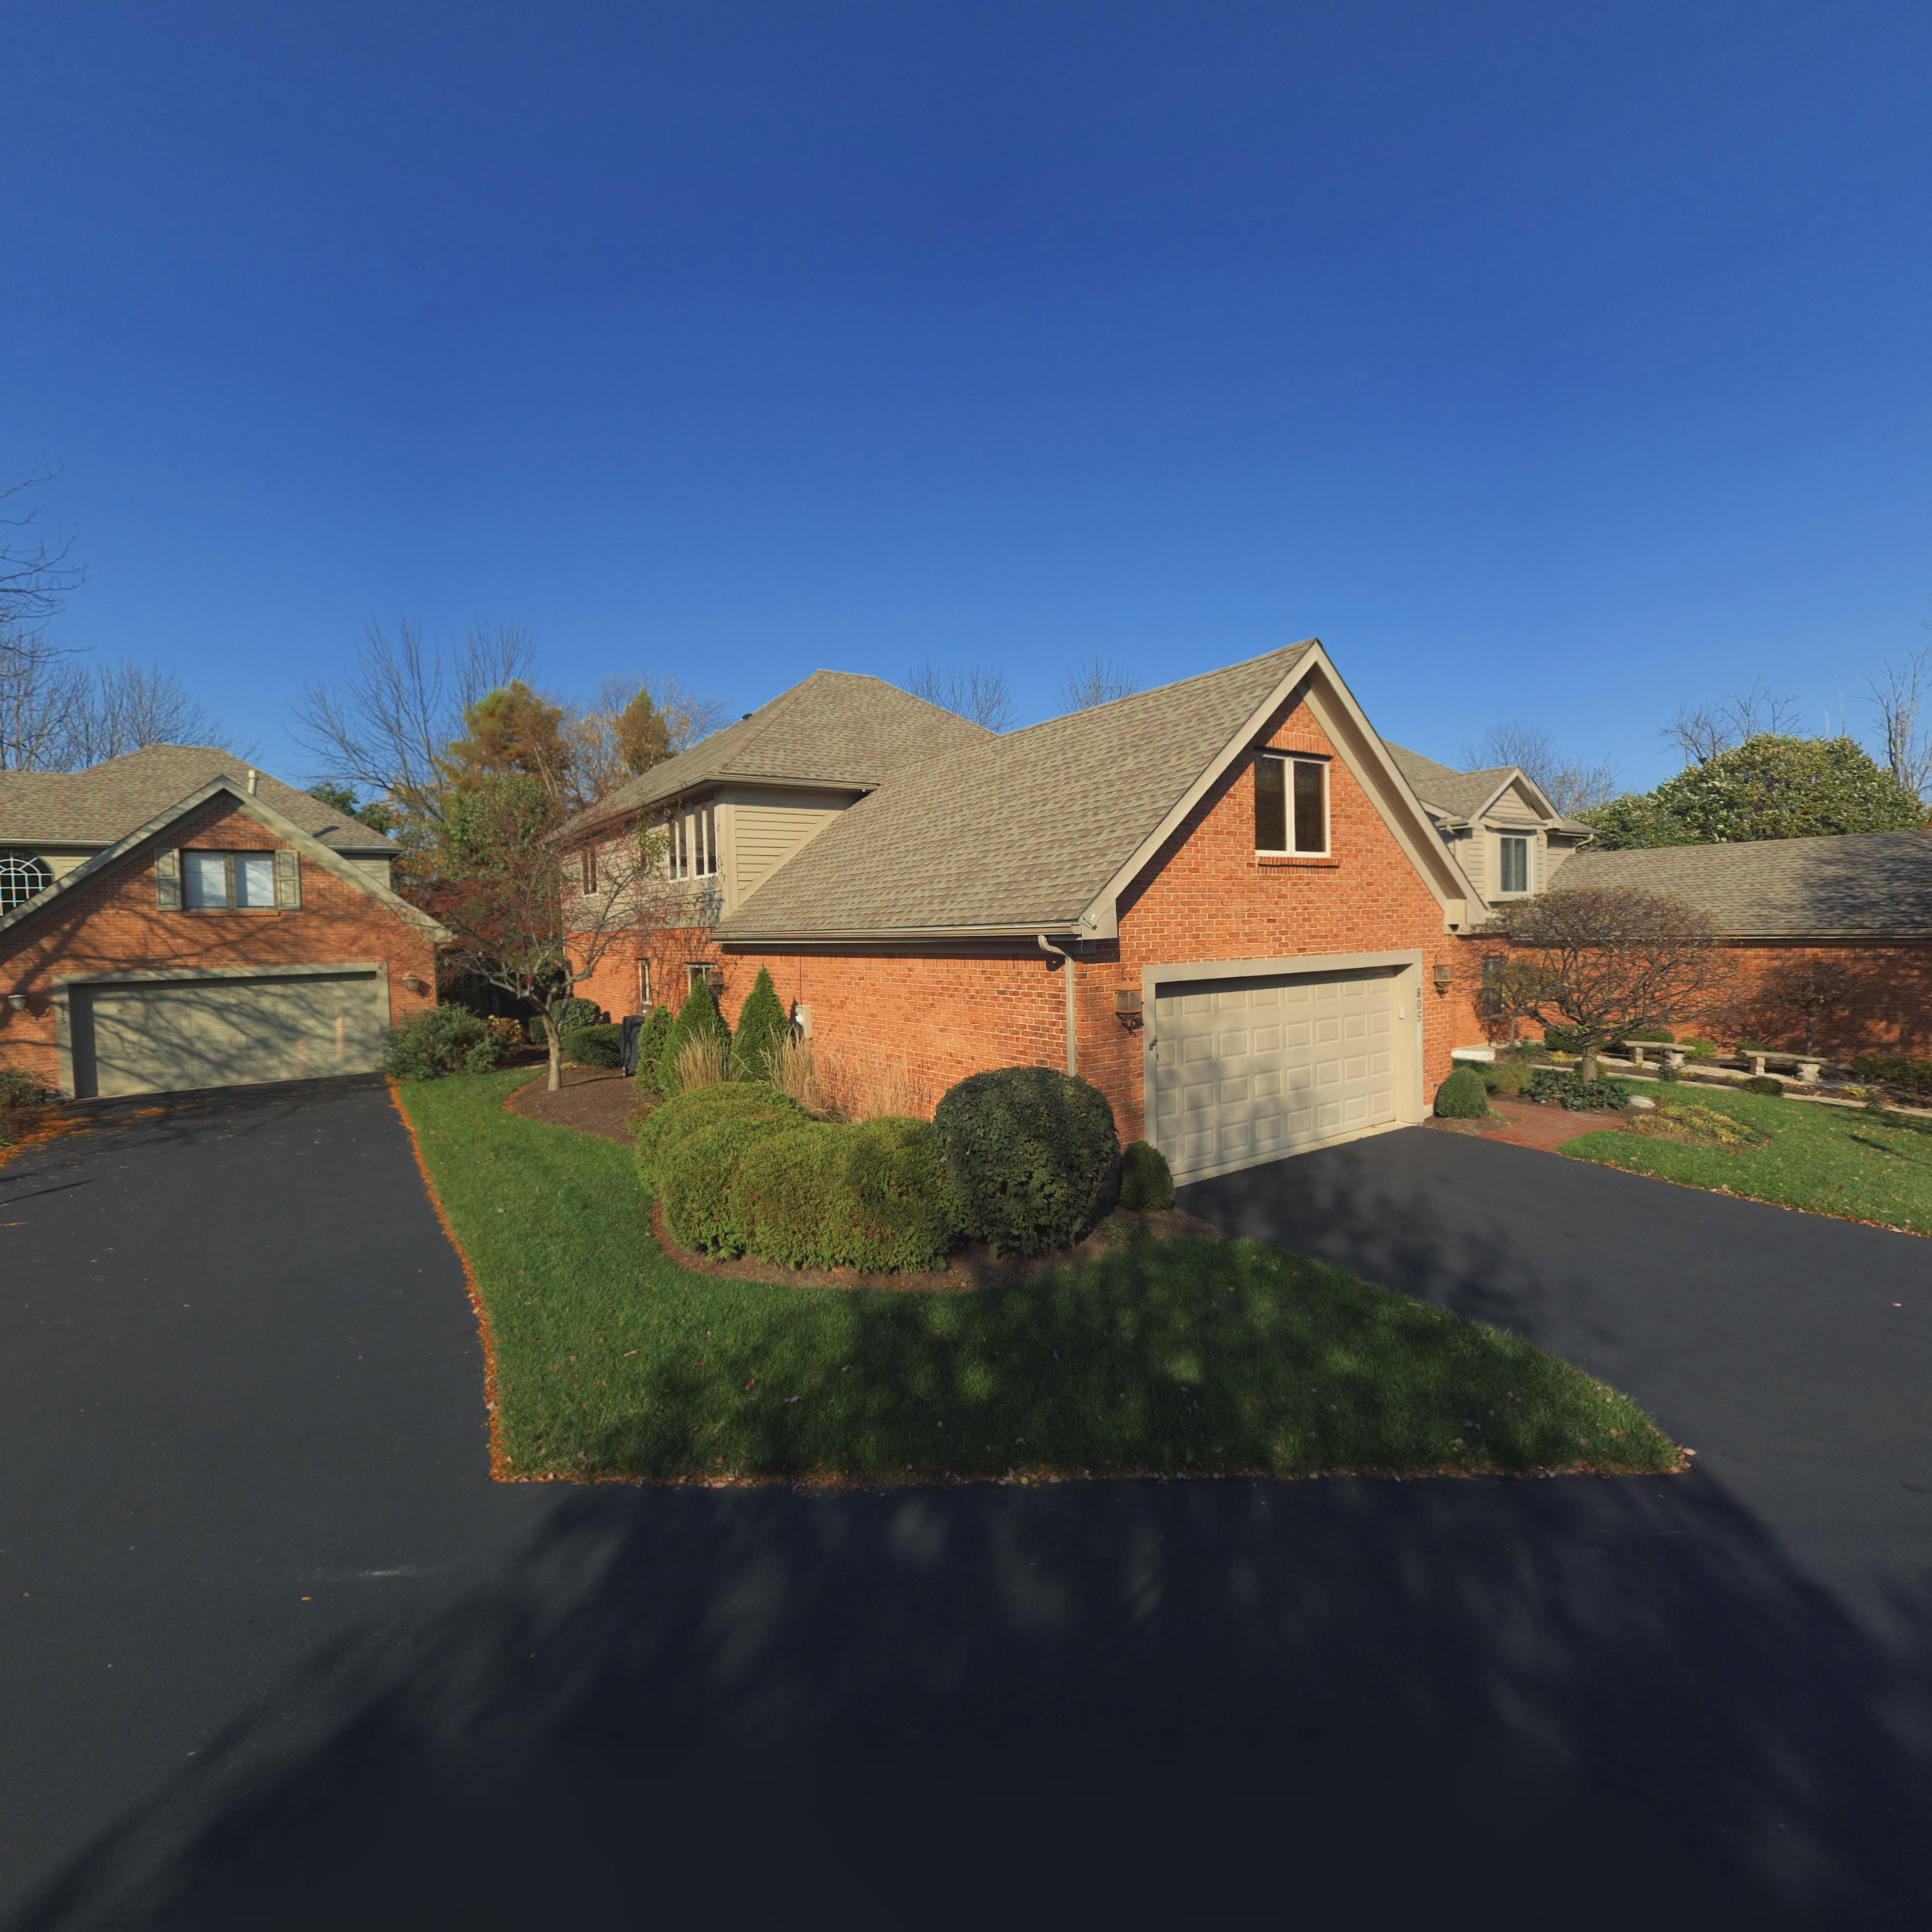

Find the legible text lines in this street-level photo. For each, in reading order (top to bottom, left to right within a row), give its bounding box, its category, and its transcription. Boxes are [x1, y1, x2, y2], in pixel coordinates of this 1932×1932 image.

[57, 997, 68, 1027] StreetNumber: 813
[1415, 985, 1422, 1024] StreetNumber: 805